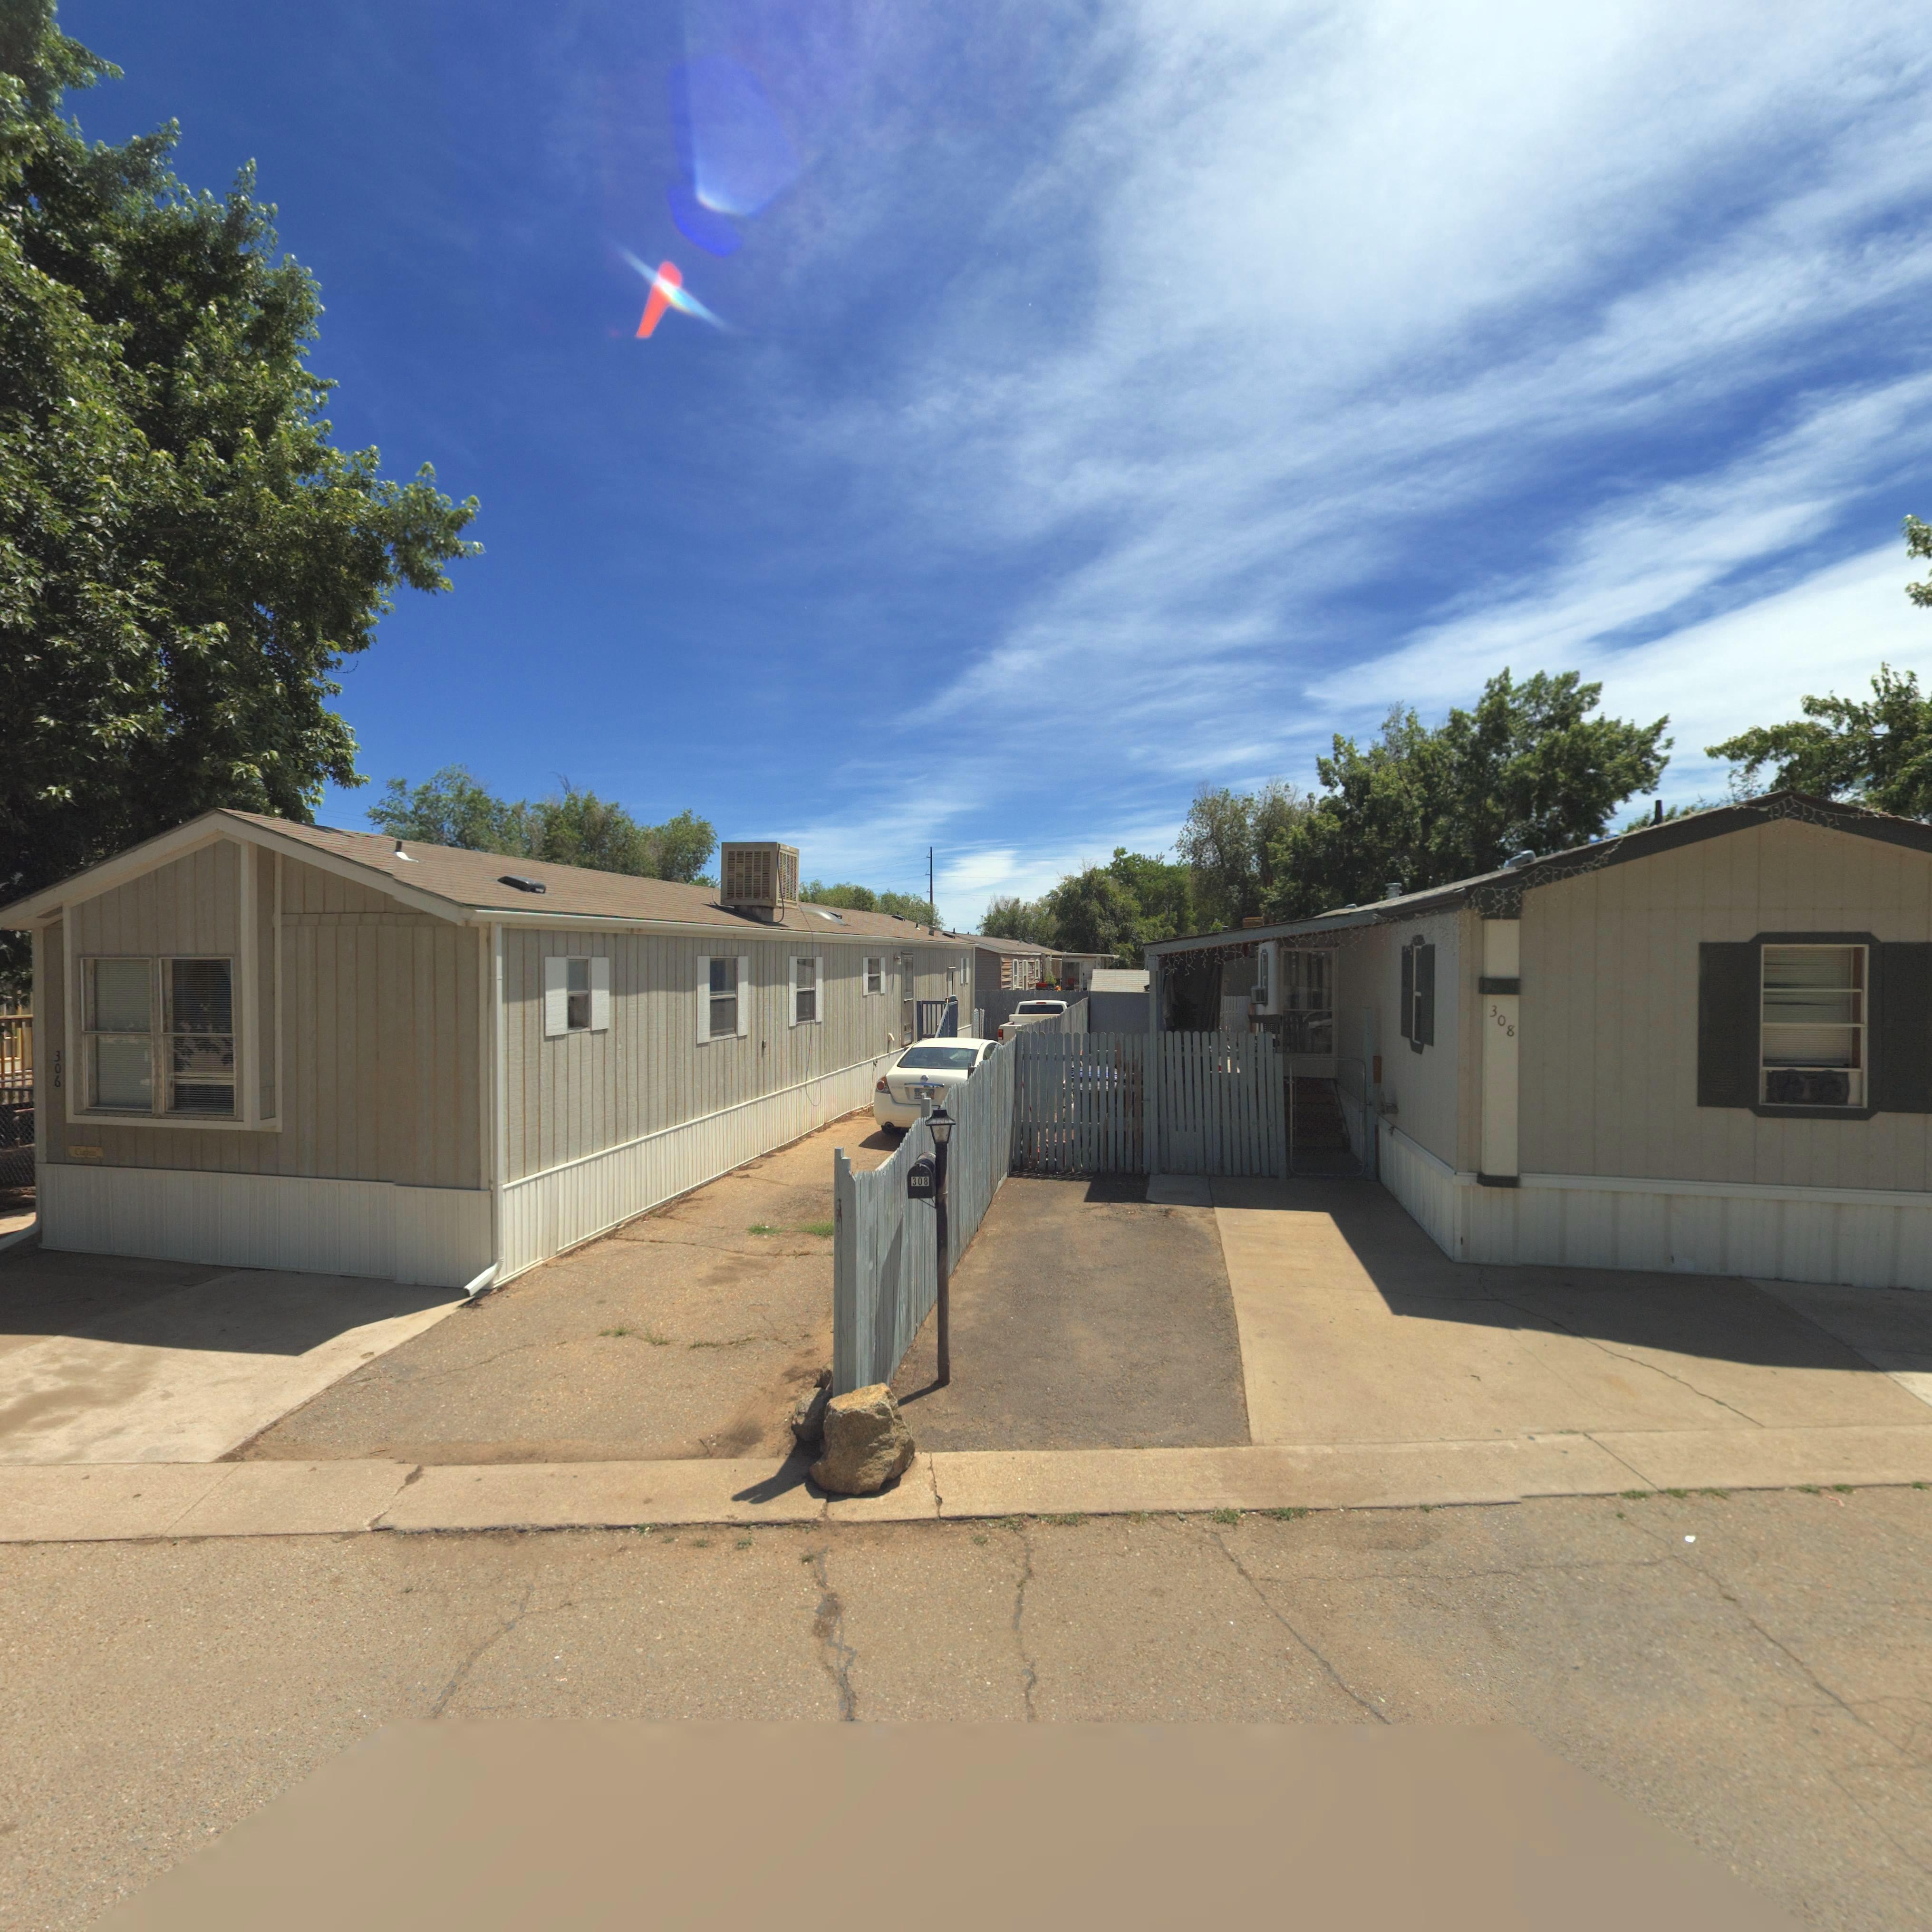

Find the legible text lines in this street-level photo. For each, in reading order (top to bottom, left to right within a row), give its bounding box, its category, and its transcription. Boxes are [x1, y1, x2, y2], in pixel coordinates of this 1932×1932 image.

[1489, 1005, 1515, 1037] StreetNumber: 308
[54, 1051, 62, 1087] StreetNumber: 306
[912, 1177, 928, 1185] StreetNumber: 308